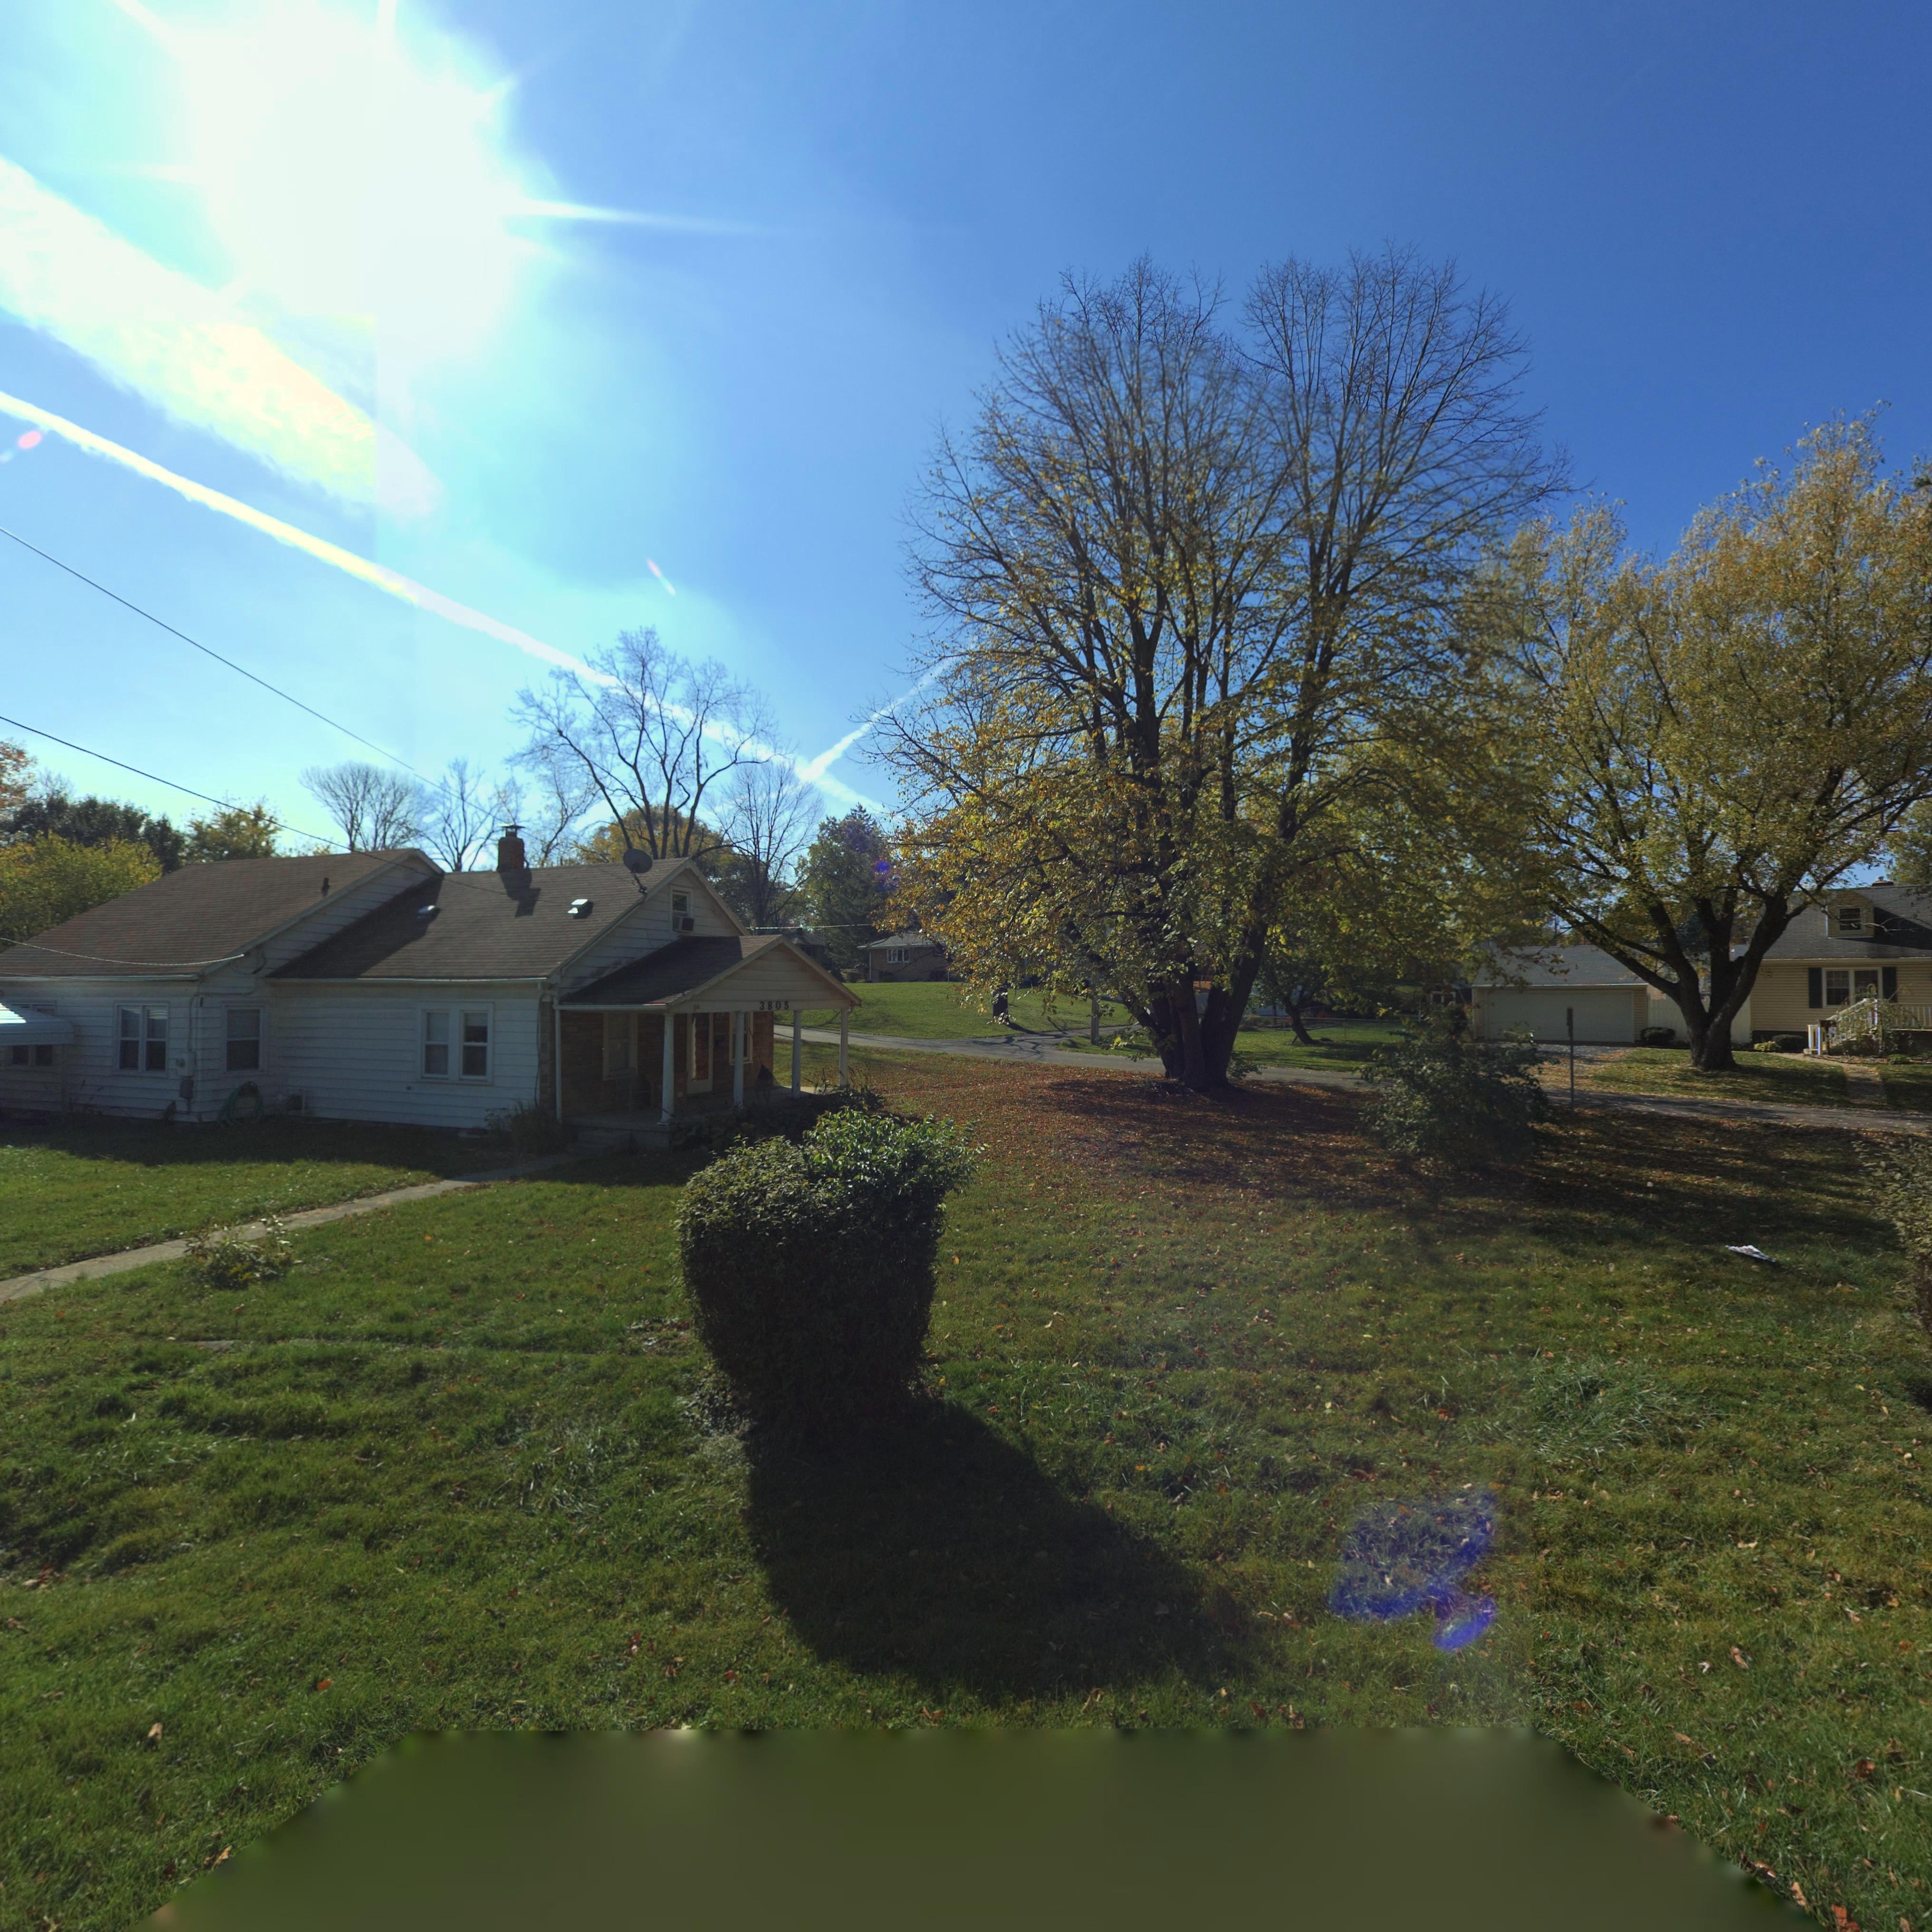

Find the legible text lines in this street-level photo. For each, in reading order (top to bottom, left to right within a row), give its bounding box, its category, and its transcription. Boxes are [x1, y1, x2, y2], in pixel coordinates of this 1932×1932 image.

[758, 999, 791, 1012] StreetNumber: 3805